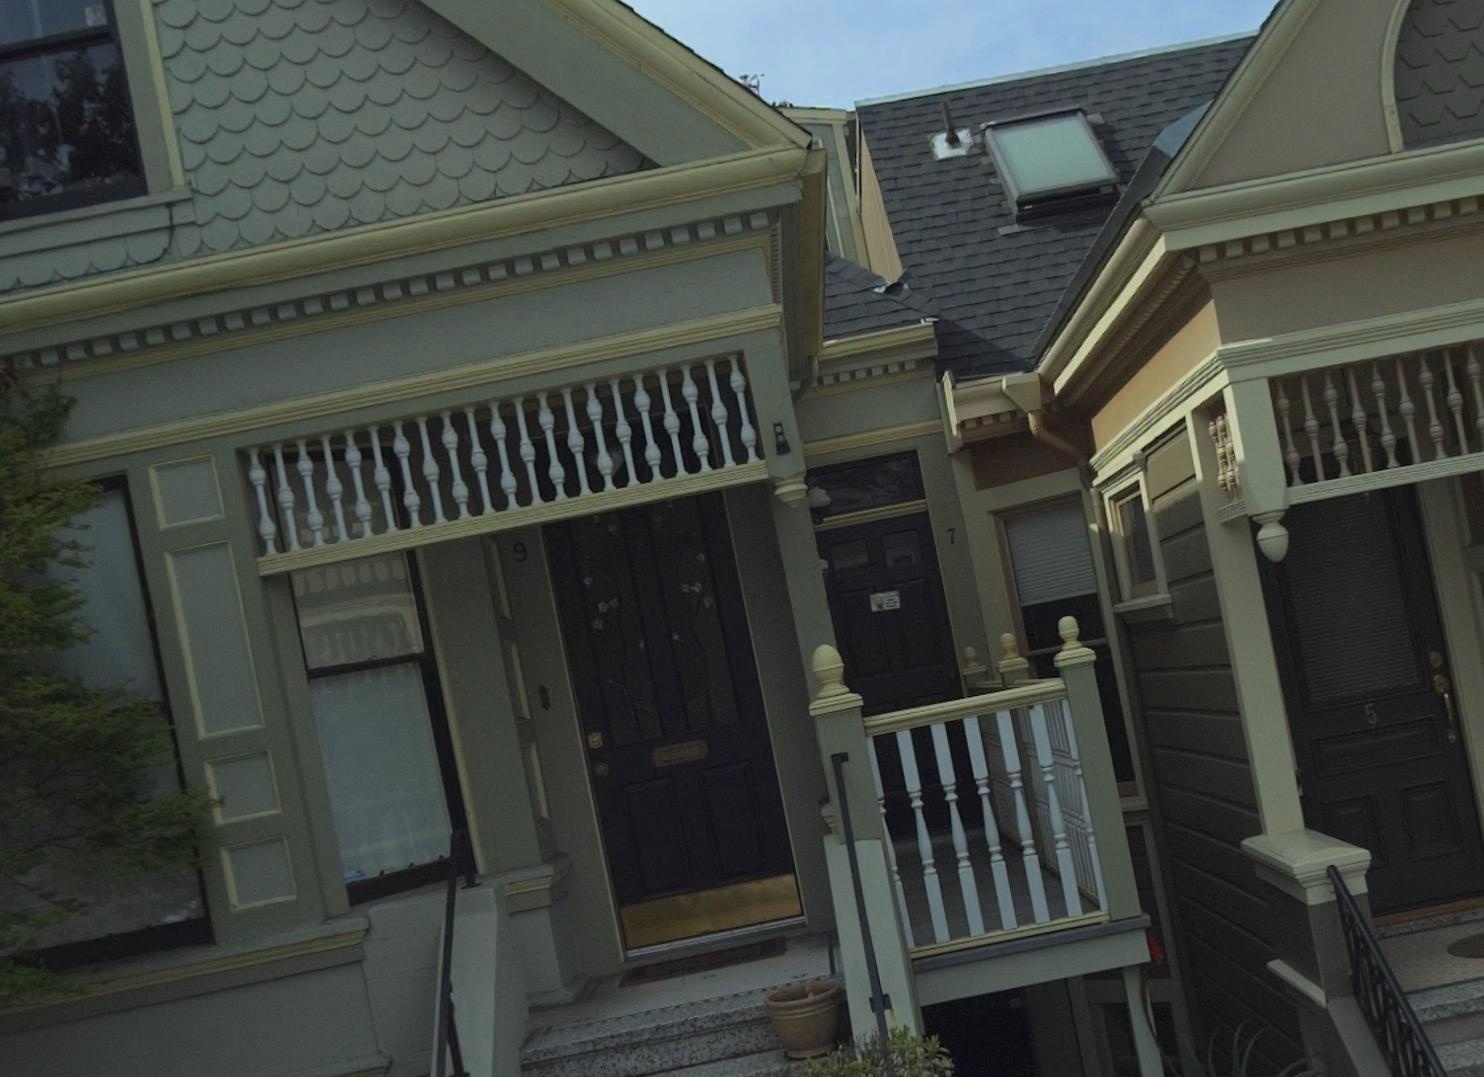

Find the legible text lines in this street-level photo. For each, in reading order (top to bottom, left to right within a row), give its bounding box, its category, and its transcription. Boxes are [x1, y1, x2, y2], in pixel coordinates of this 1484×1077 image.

[945, 525, 958, 547] StreetNumber: 7
[510, 539, 530, 566] StreetNumber: 9
[1360, 699, 1381, 728] StreetNumber: 5